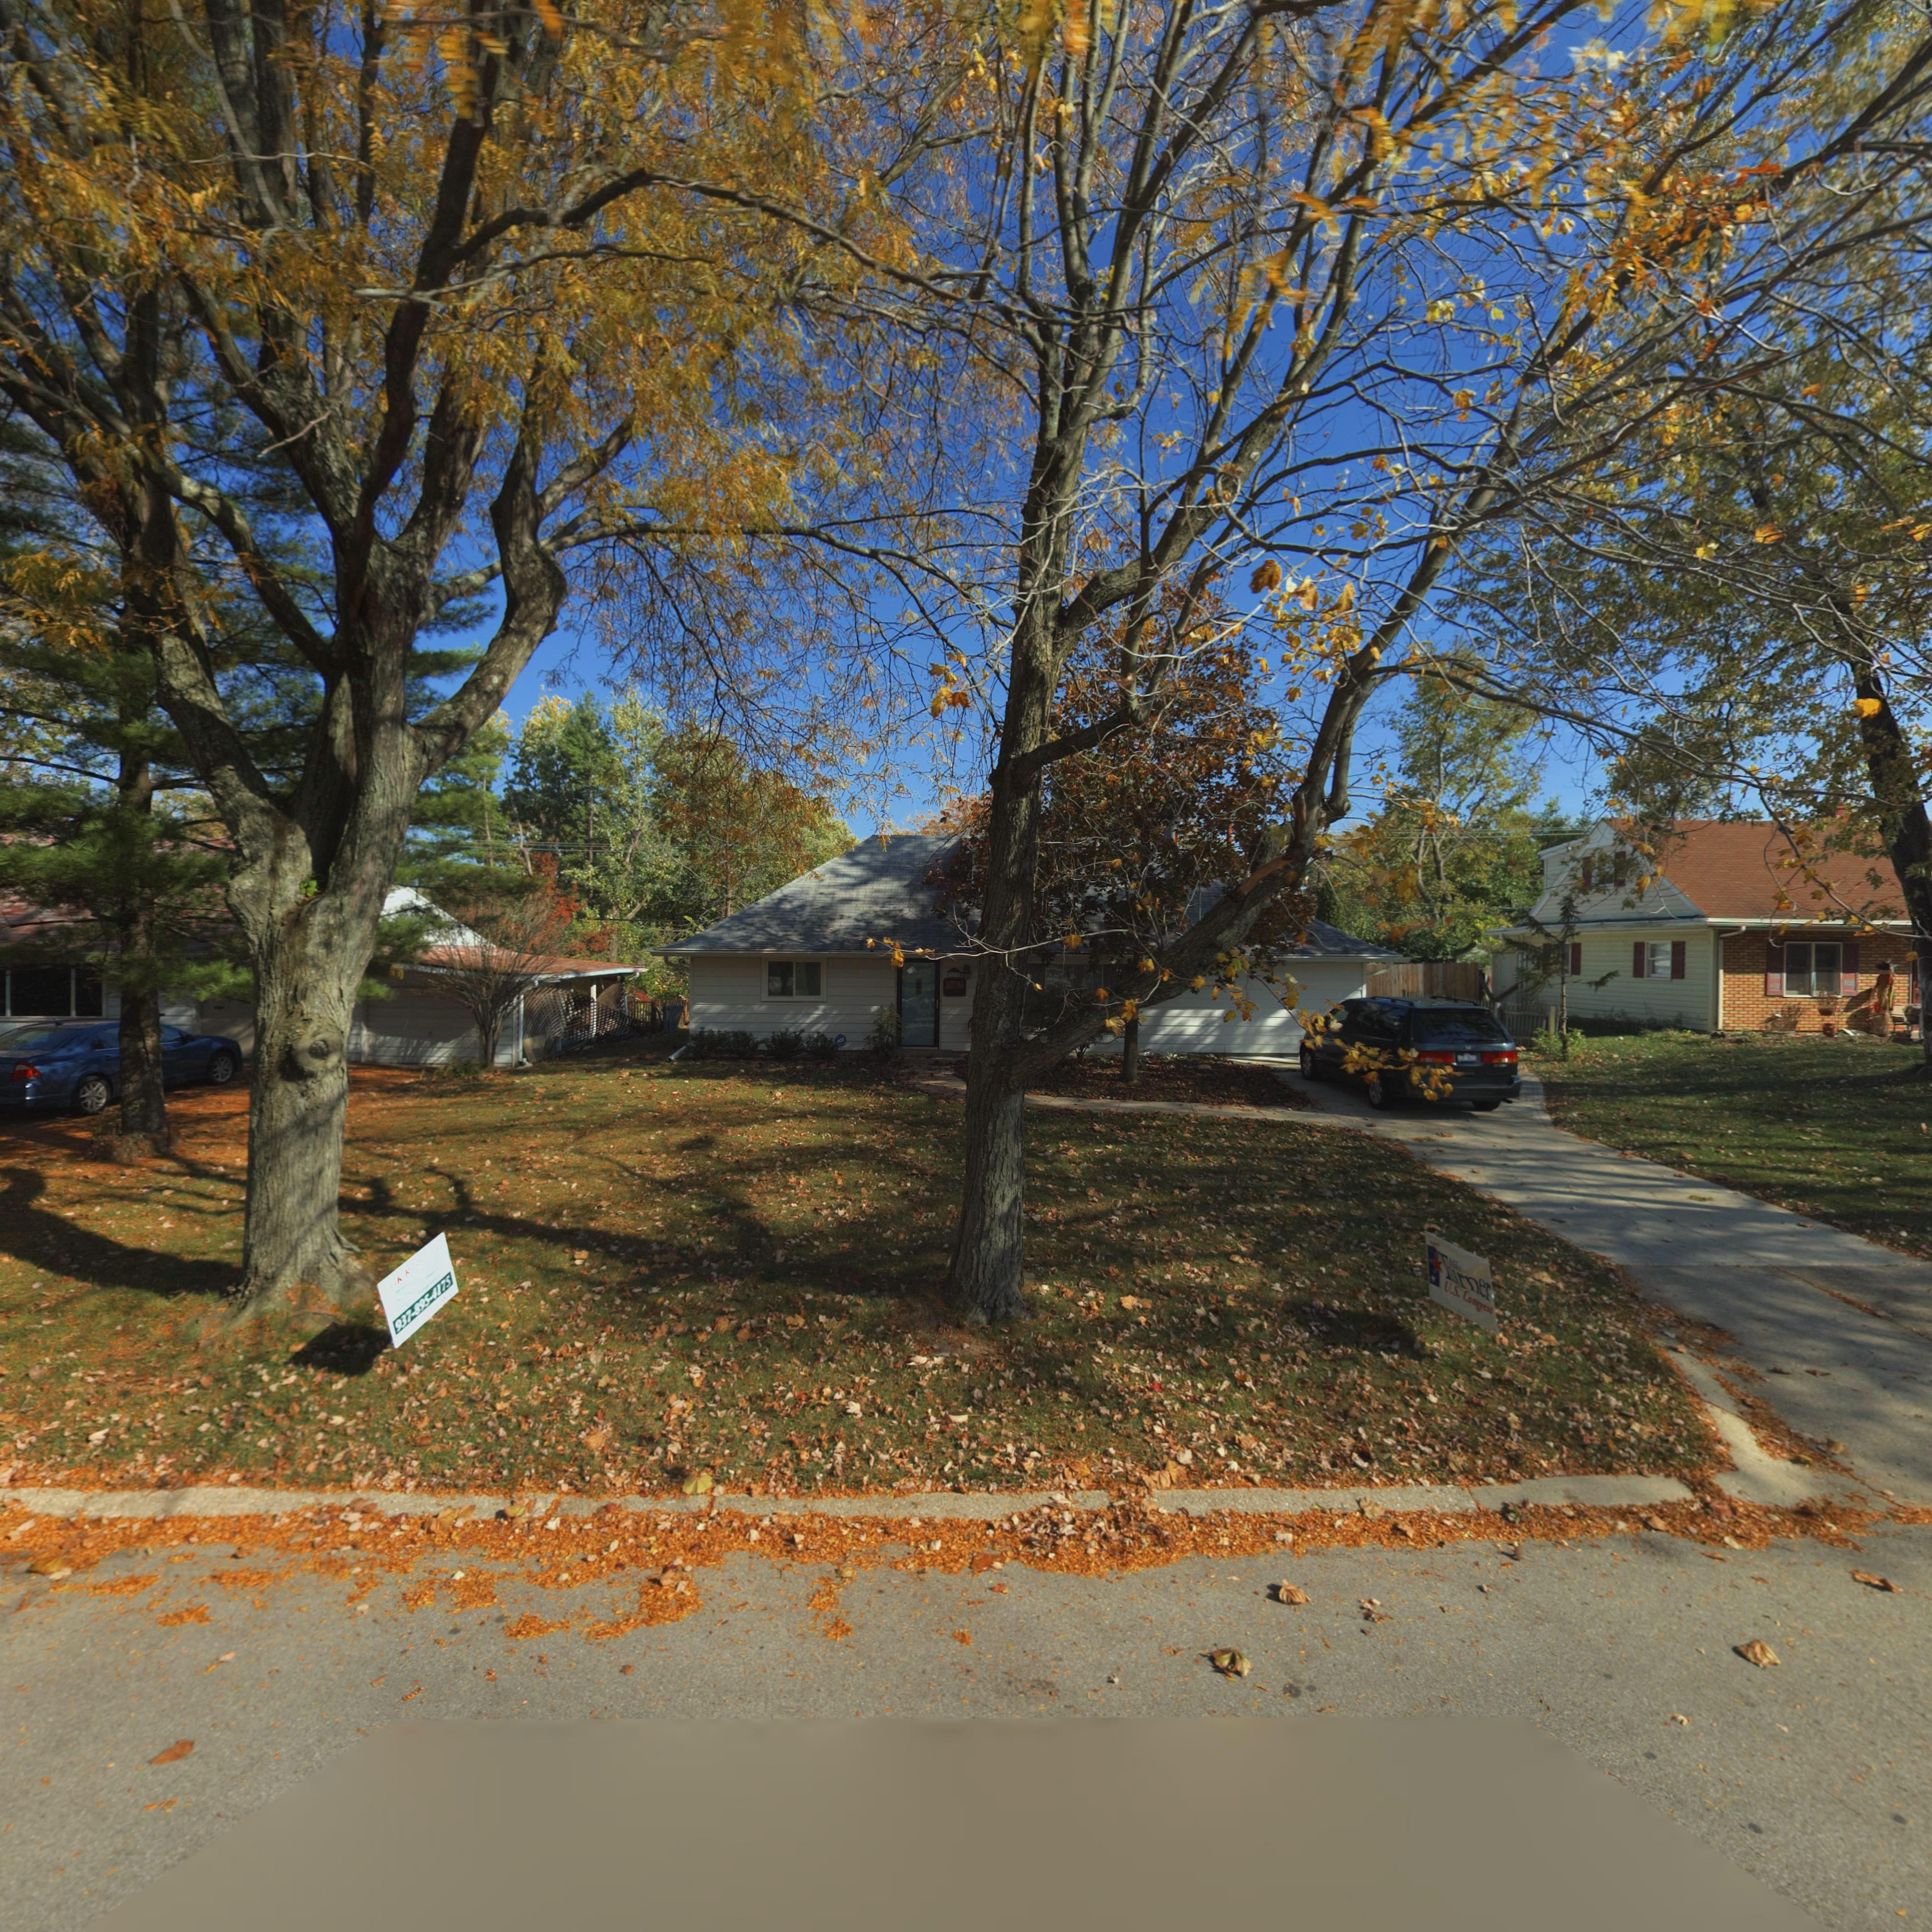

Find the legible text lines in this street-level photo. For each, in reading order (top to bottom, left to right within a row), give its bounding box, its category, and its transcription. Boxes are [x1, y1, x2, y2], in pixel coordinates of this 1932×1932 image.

[837, 1037, 845, 1043] None: ADT
[394, 1271, 453, 1336] None: 937-895-4175
[1436, 1250, 1492, 1303] None: Turner
[1443, 1279, 1494, 1315] None: U.S. Congress